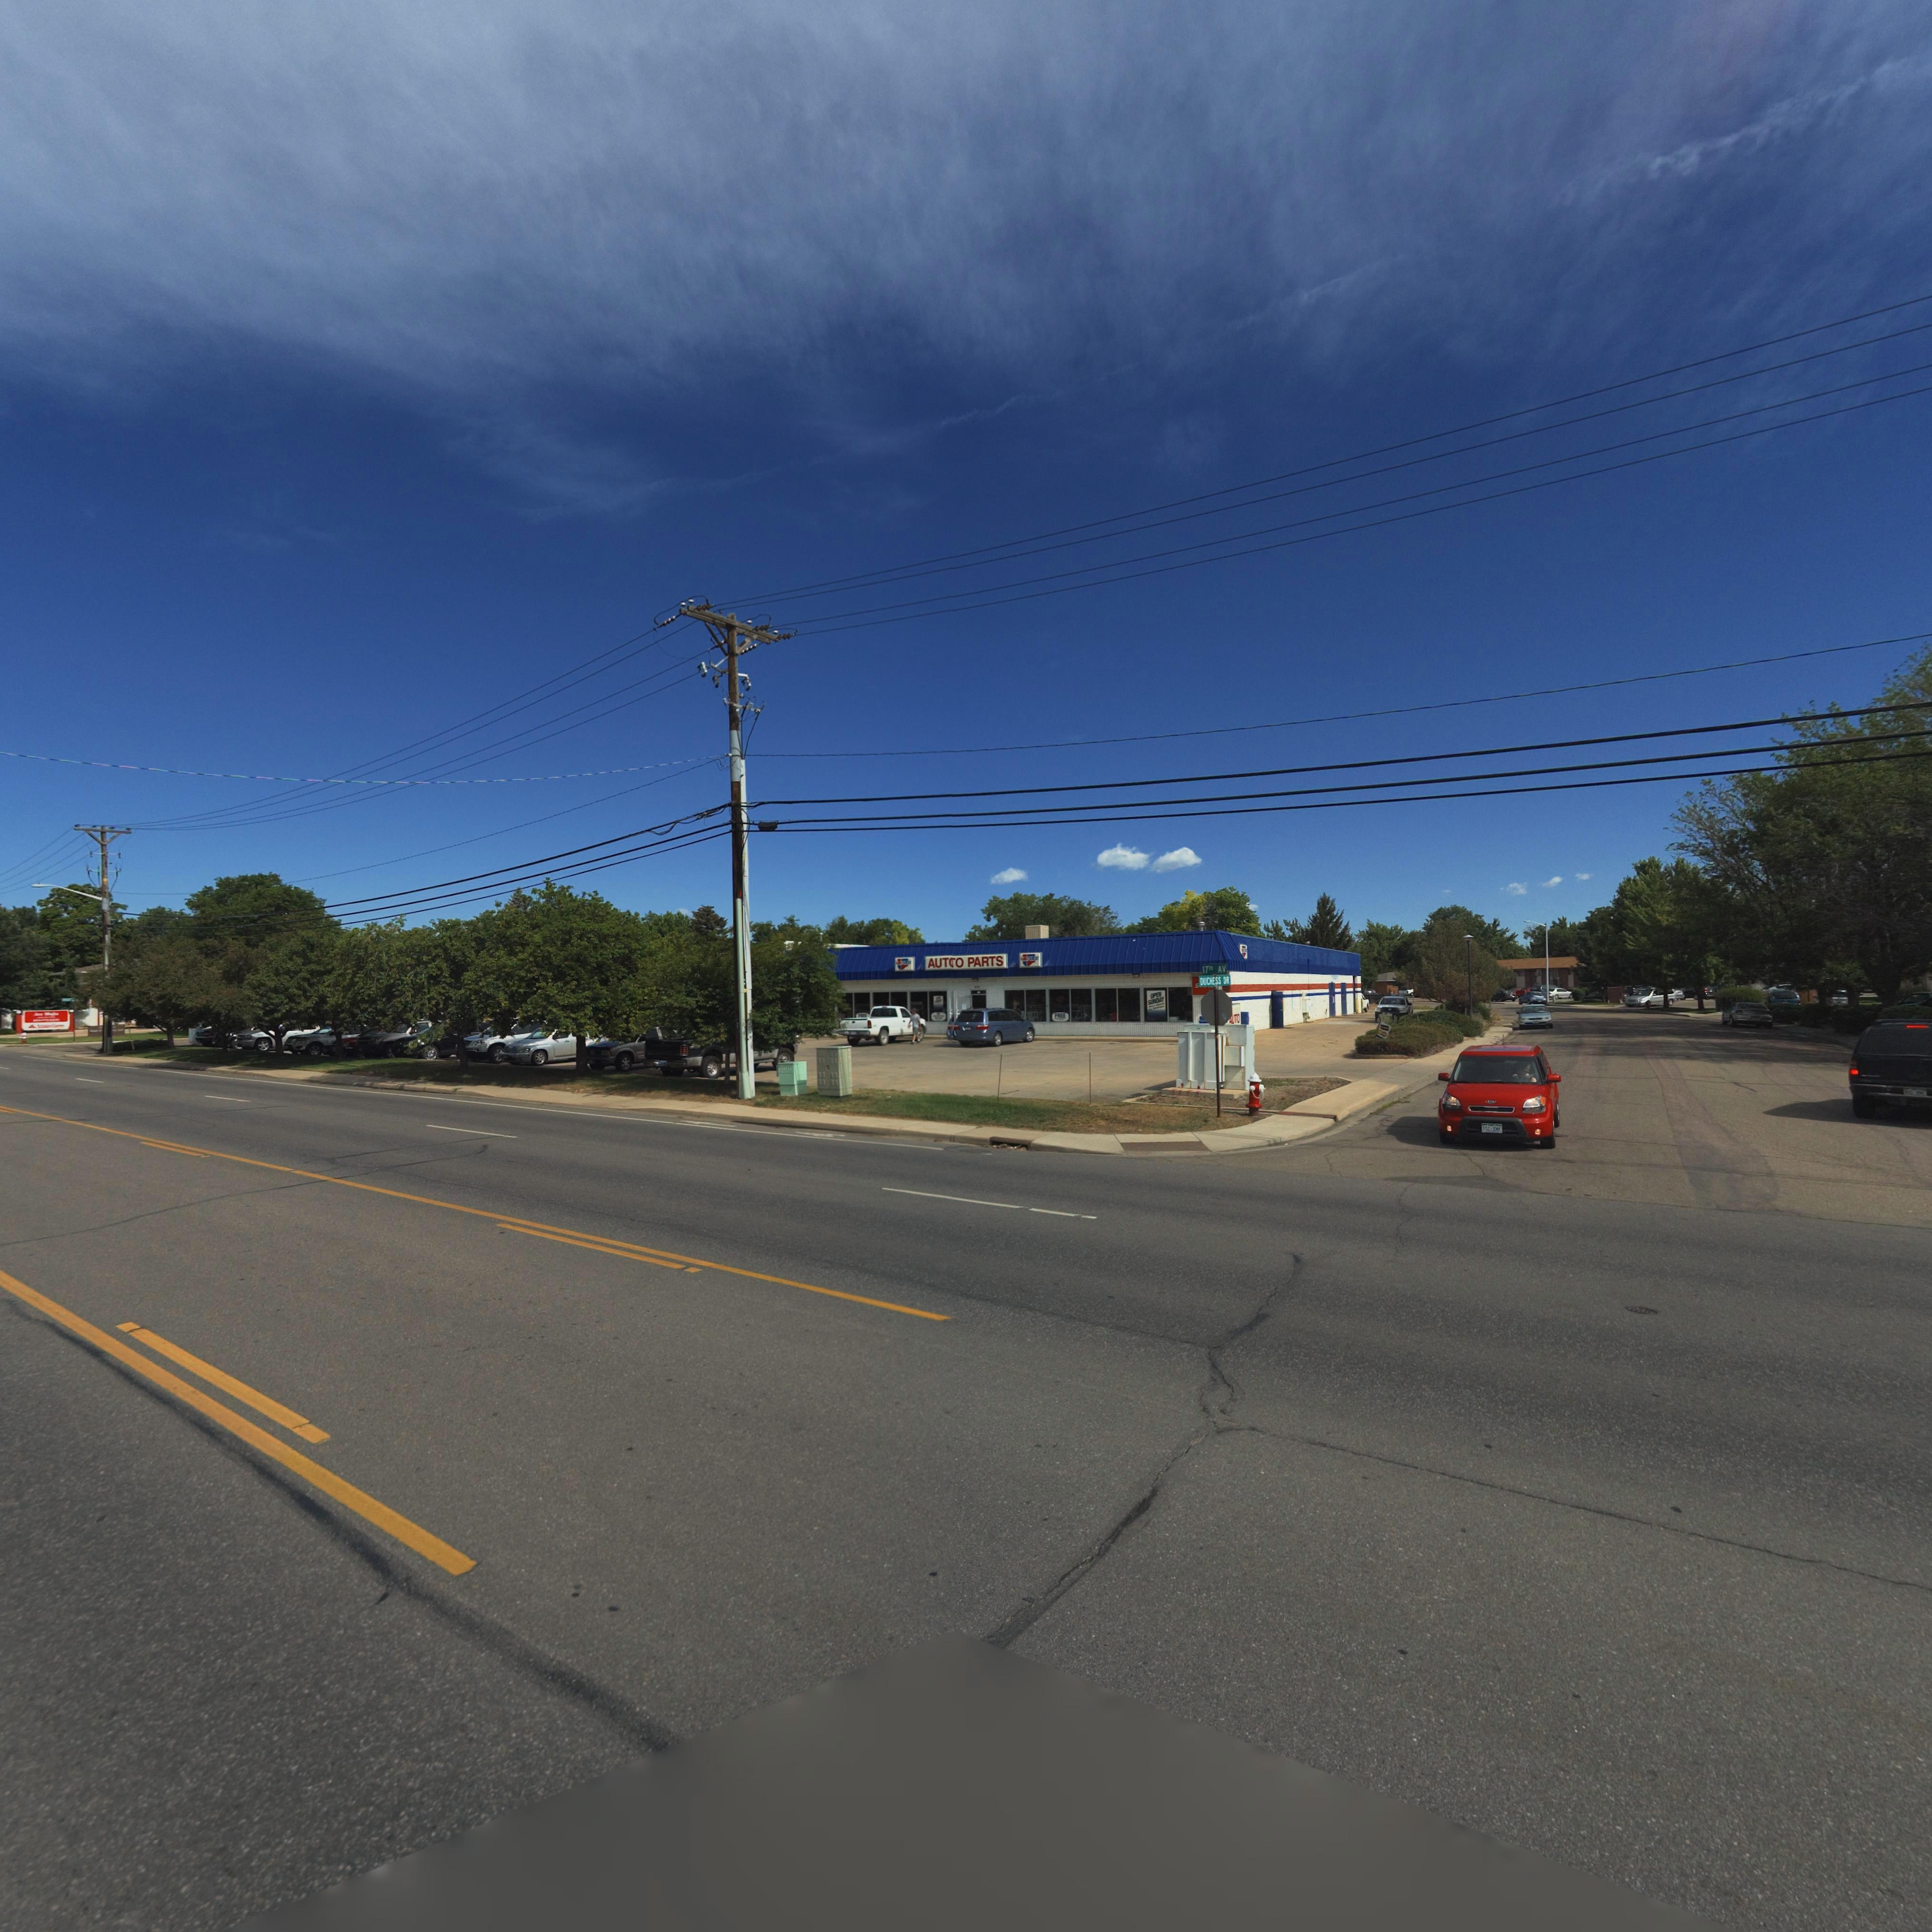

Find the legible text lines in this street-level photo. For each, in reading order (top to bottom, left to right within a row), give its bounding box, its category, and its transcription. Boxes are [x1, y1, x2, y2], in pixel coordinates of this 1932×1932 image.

[895, 960, 911, 965] BusinessName: C** Q**S*
[927, 955, 1004, 968] BusinessName: AUT*O PARTS
[1020, 956, 1039, 961] BusinessName: CAR ***S*
[1202, 965, 1226, 974] StreetName: 17** AV
[1200, 976, 1229, 985] StreetName: DUCHESS DR
[1229, 1013, 1240, 1025] BusinessName: *UTO